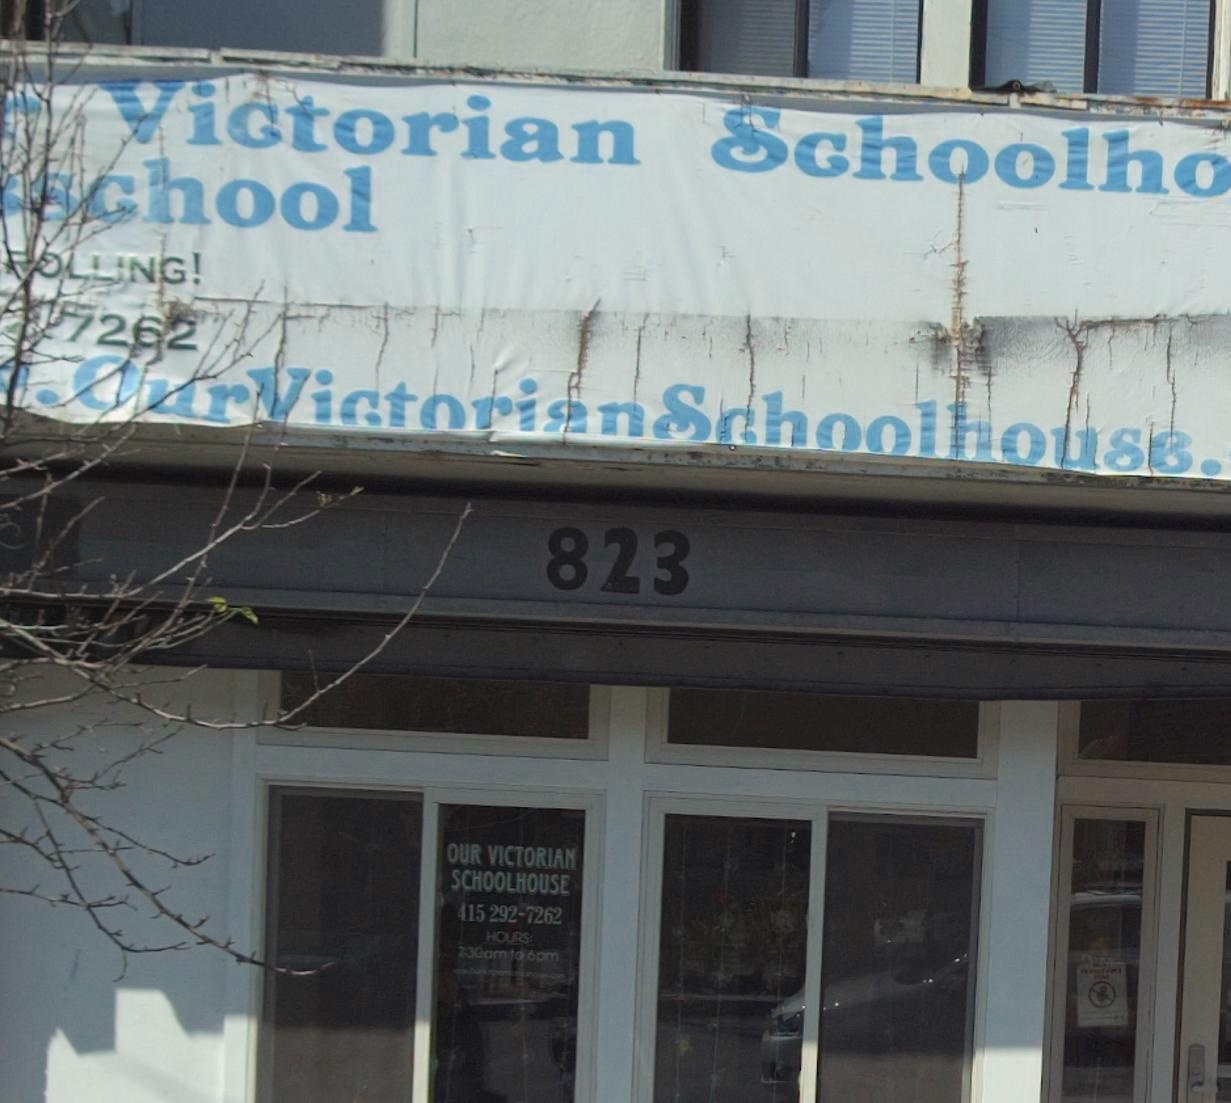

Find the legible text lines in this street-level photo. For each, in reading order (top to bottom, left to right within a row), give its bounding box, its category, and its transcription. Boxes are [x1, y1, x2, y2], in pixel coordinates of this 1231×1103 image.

[90, 76, 1230, 207] BusinessName: Victorian Schoolho
[138, 153, 383, 236] None: hool
[86, 248, 205, 289] None: LING!
[57, 309, 203, 351] None: 7262
[62, 349, 1227, 477] None: OurVictorianSchoolhouse.
[544, 523, 697, 601] StreetNumber: 823
[445, 841, 579, 870] BusinessName: OUR VICTORIAN
[447, 867, 574, 898] BusinessName: SCHOOLHOUSE
[456, 902, 564, 926] None: 415 292-7262
[455, 944, 561, 965] None: 7:30am to 6pm
[484, 929, 534, 945] None: HOURS: